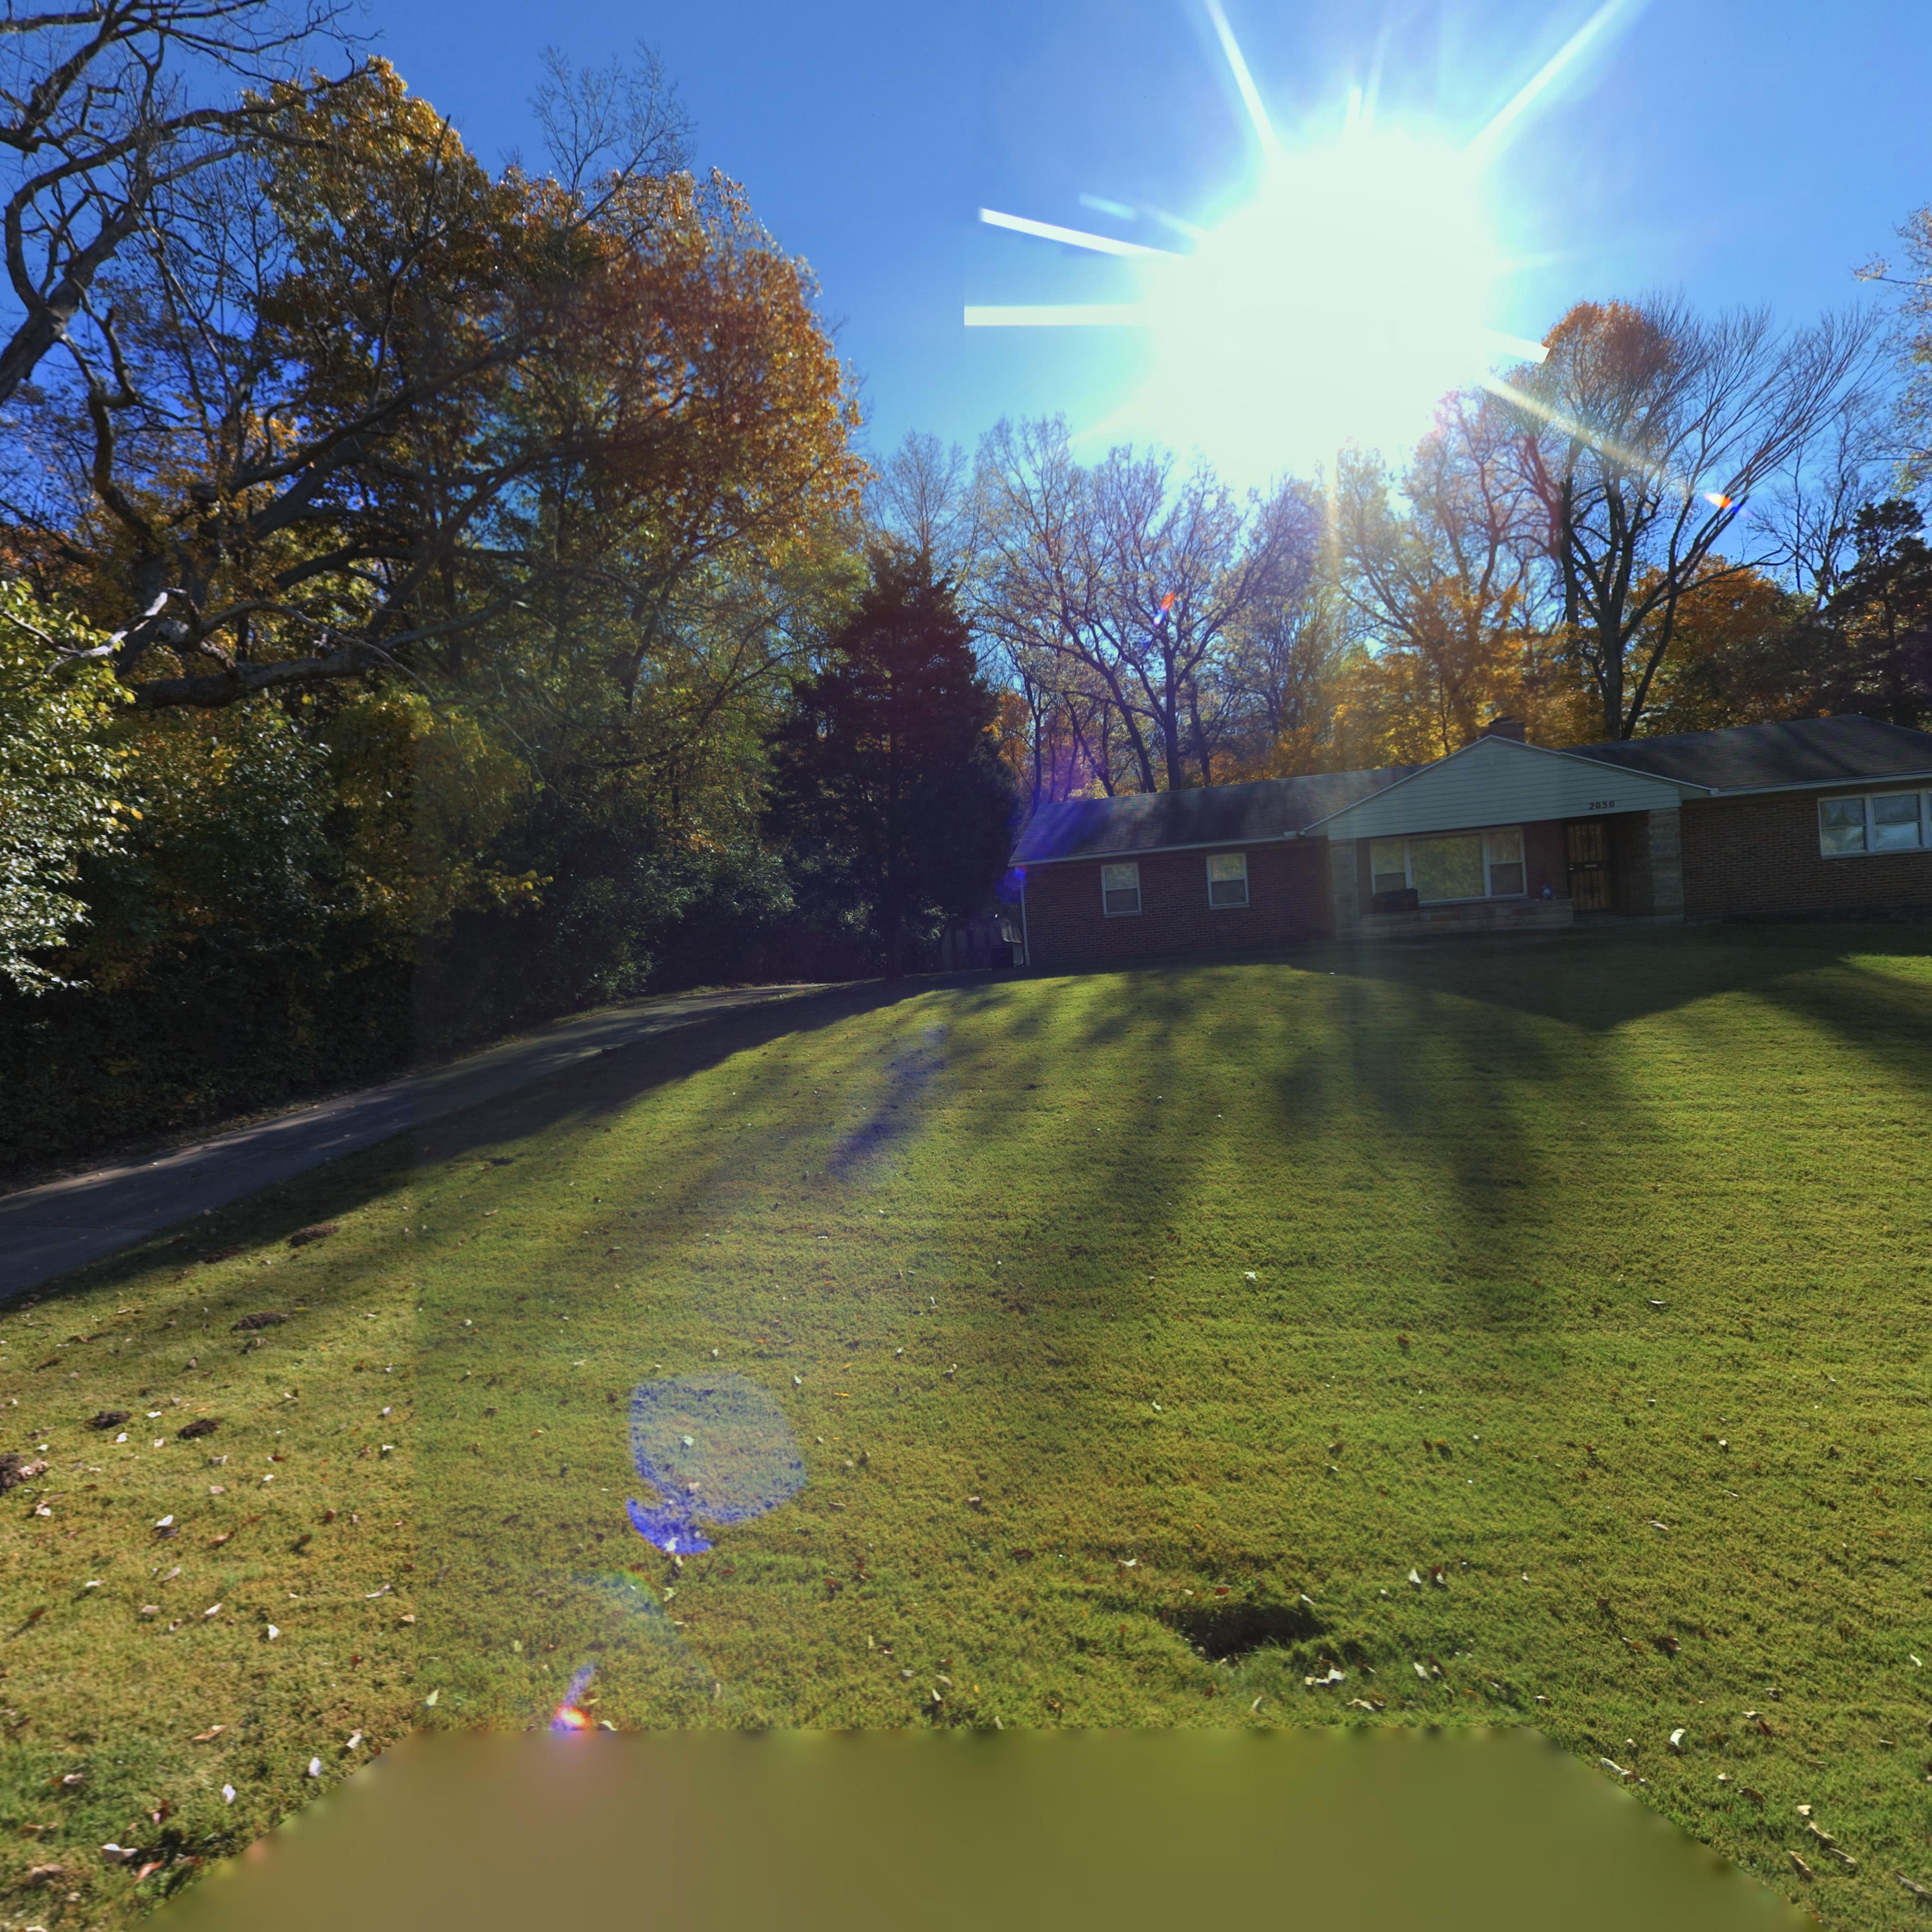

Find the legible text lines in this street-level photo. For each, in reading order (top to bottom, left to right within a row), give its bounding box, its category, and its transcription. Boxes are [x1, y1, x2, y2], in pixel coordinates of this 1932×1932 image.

[1588, 800, 1616, 810] StreetNumber: 2050